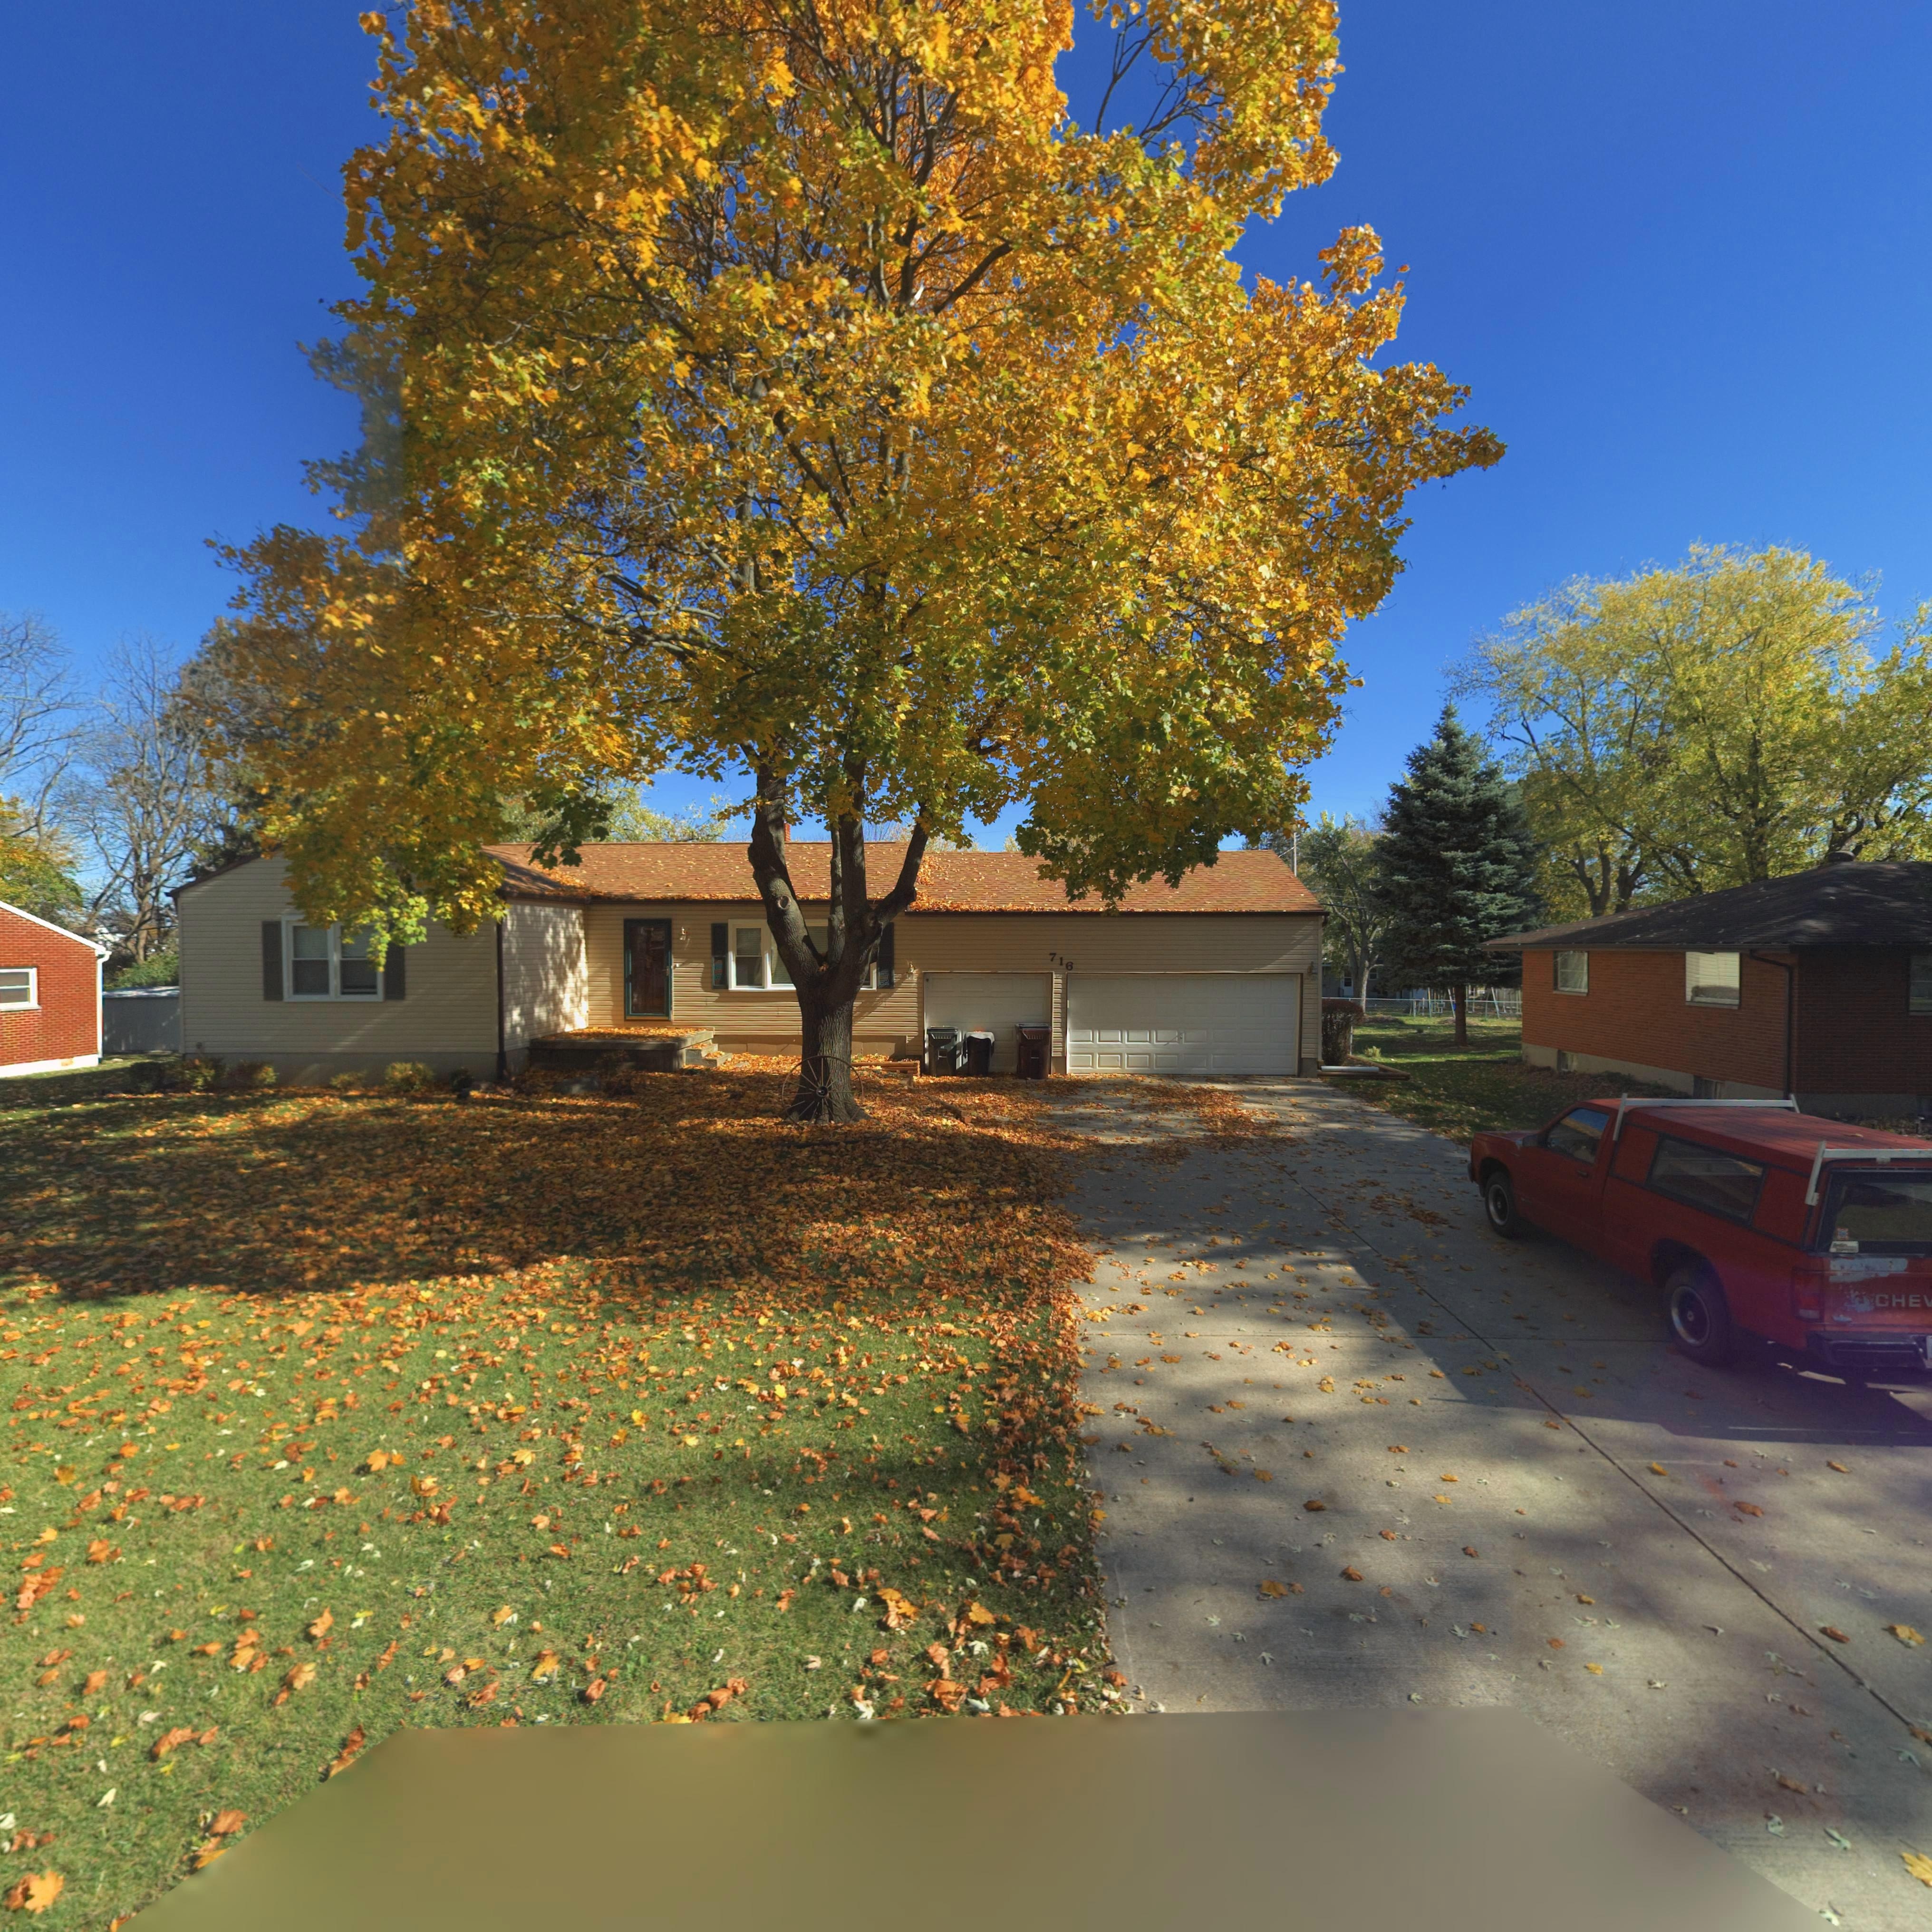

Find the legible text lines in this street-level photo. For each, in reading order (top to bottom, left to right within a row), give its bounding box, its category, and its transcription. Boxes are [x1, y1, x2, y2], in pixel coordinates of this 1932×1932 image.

[1049, 952, 1074, 971] StreetNumber: 716